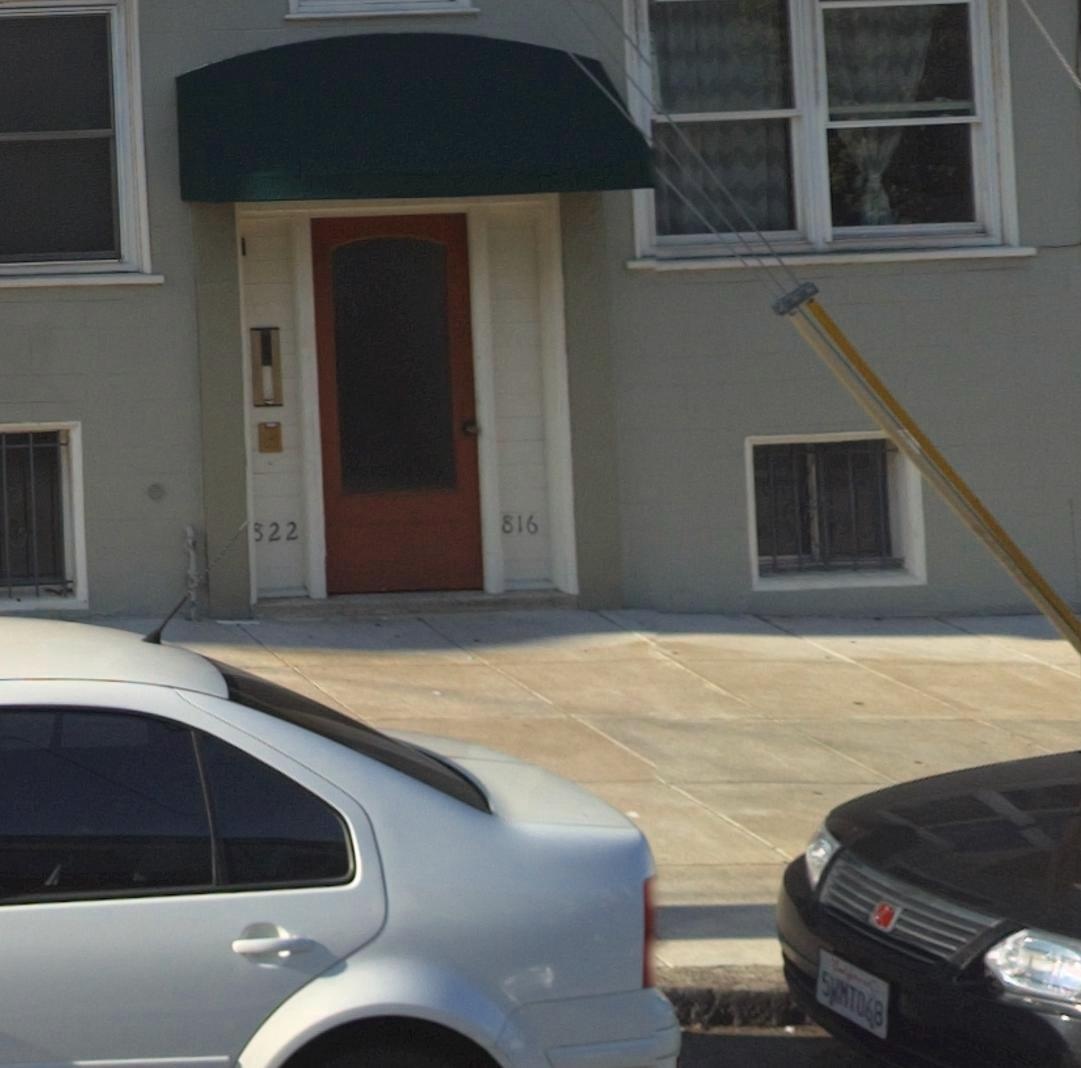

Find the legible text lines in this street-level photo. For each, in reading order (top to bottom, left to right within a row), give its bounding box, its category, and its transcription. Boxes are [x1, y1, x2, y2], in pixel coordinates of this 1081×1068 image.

[249, 518, 302, 542] StreetNumber: *22
[498, 509, 539, 538] StreetNumber: 816
[817, 966, 887, 1034] None: 5WNTO68